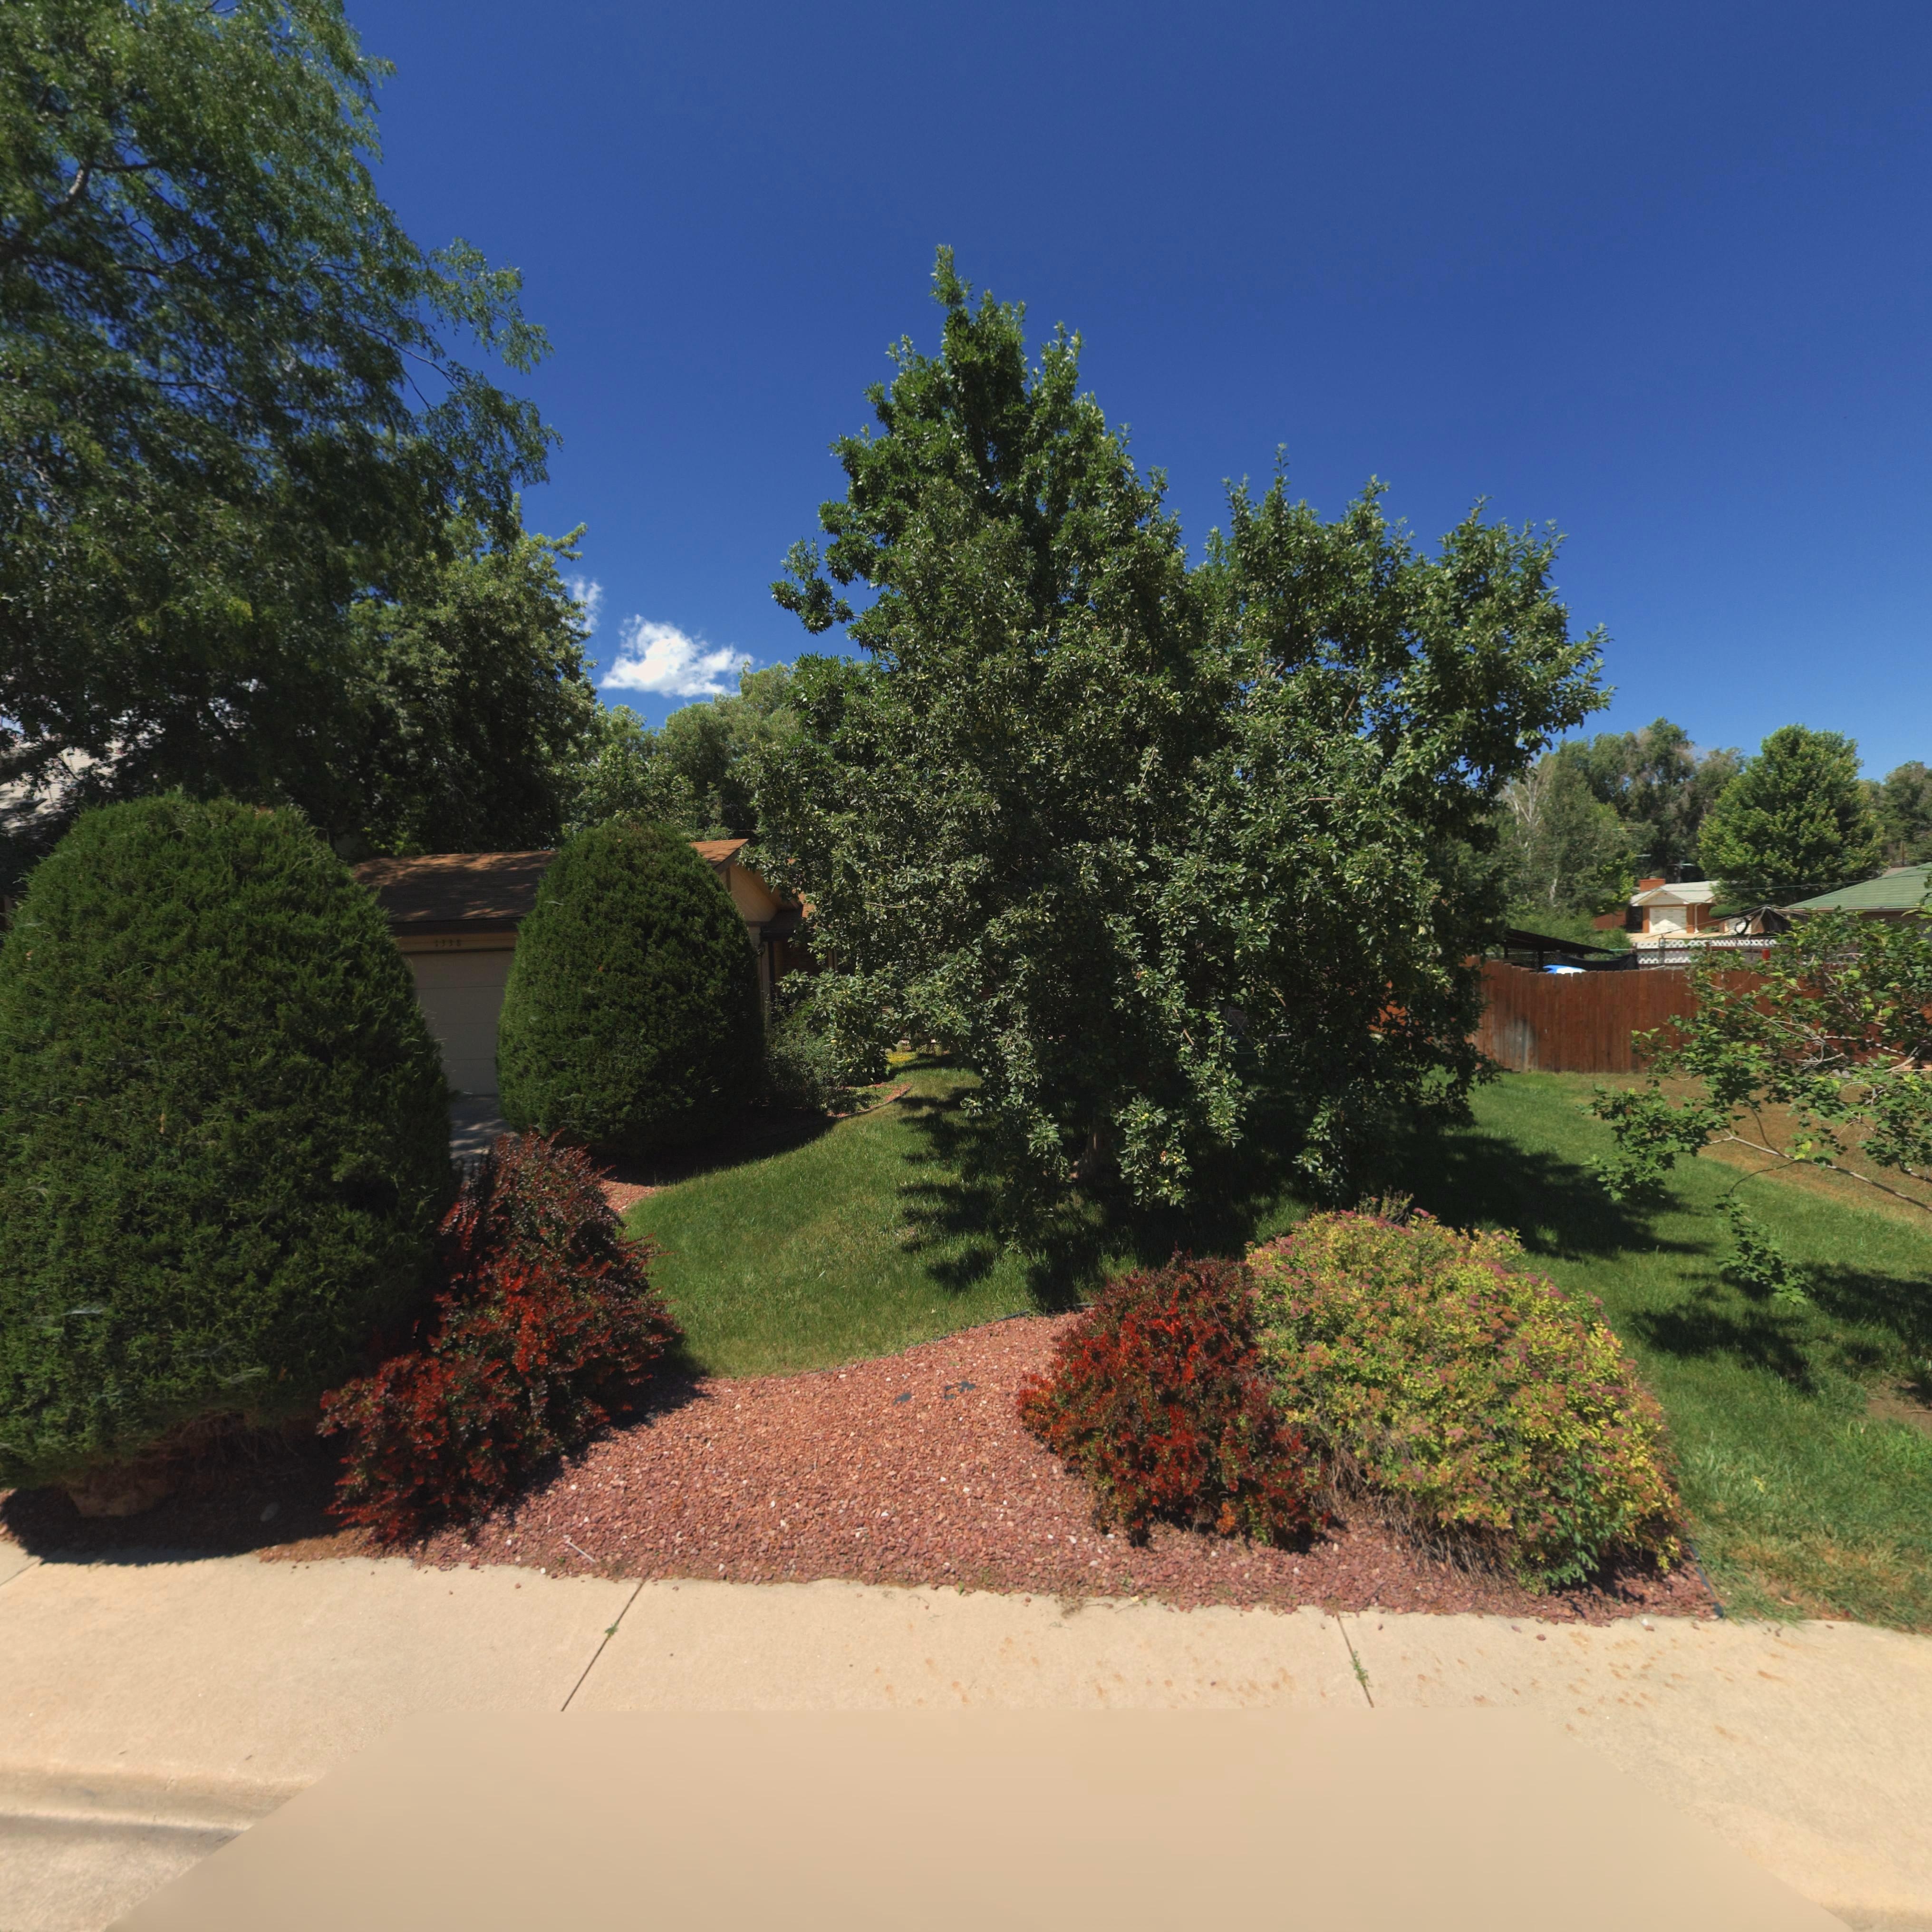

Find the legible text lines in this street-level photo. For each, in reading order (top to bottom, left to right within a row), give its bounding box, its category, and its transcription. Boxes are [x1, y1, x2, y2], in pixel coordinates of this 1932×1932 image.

[435, 938, 462, 947] StreetNumber: 1338